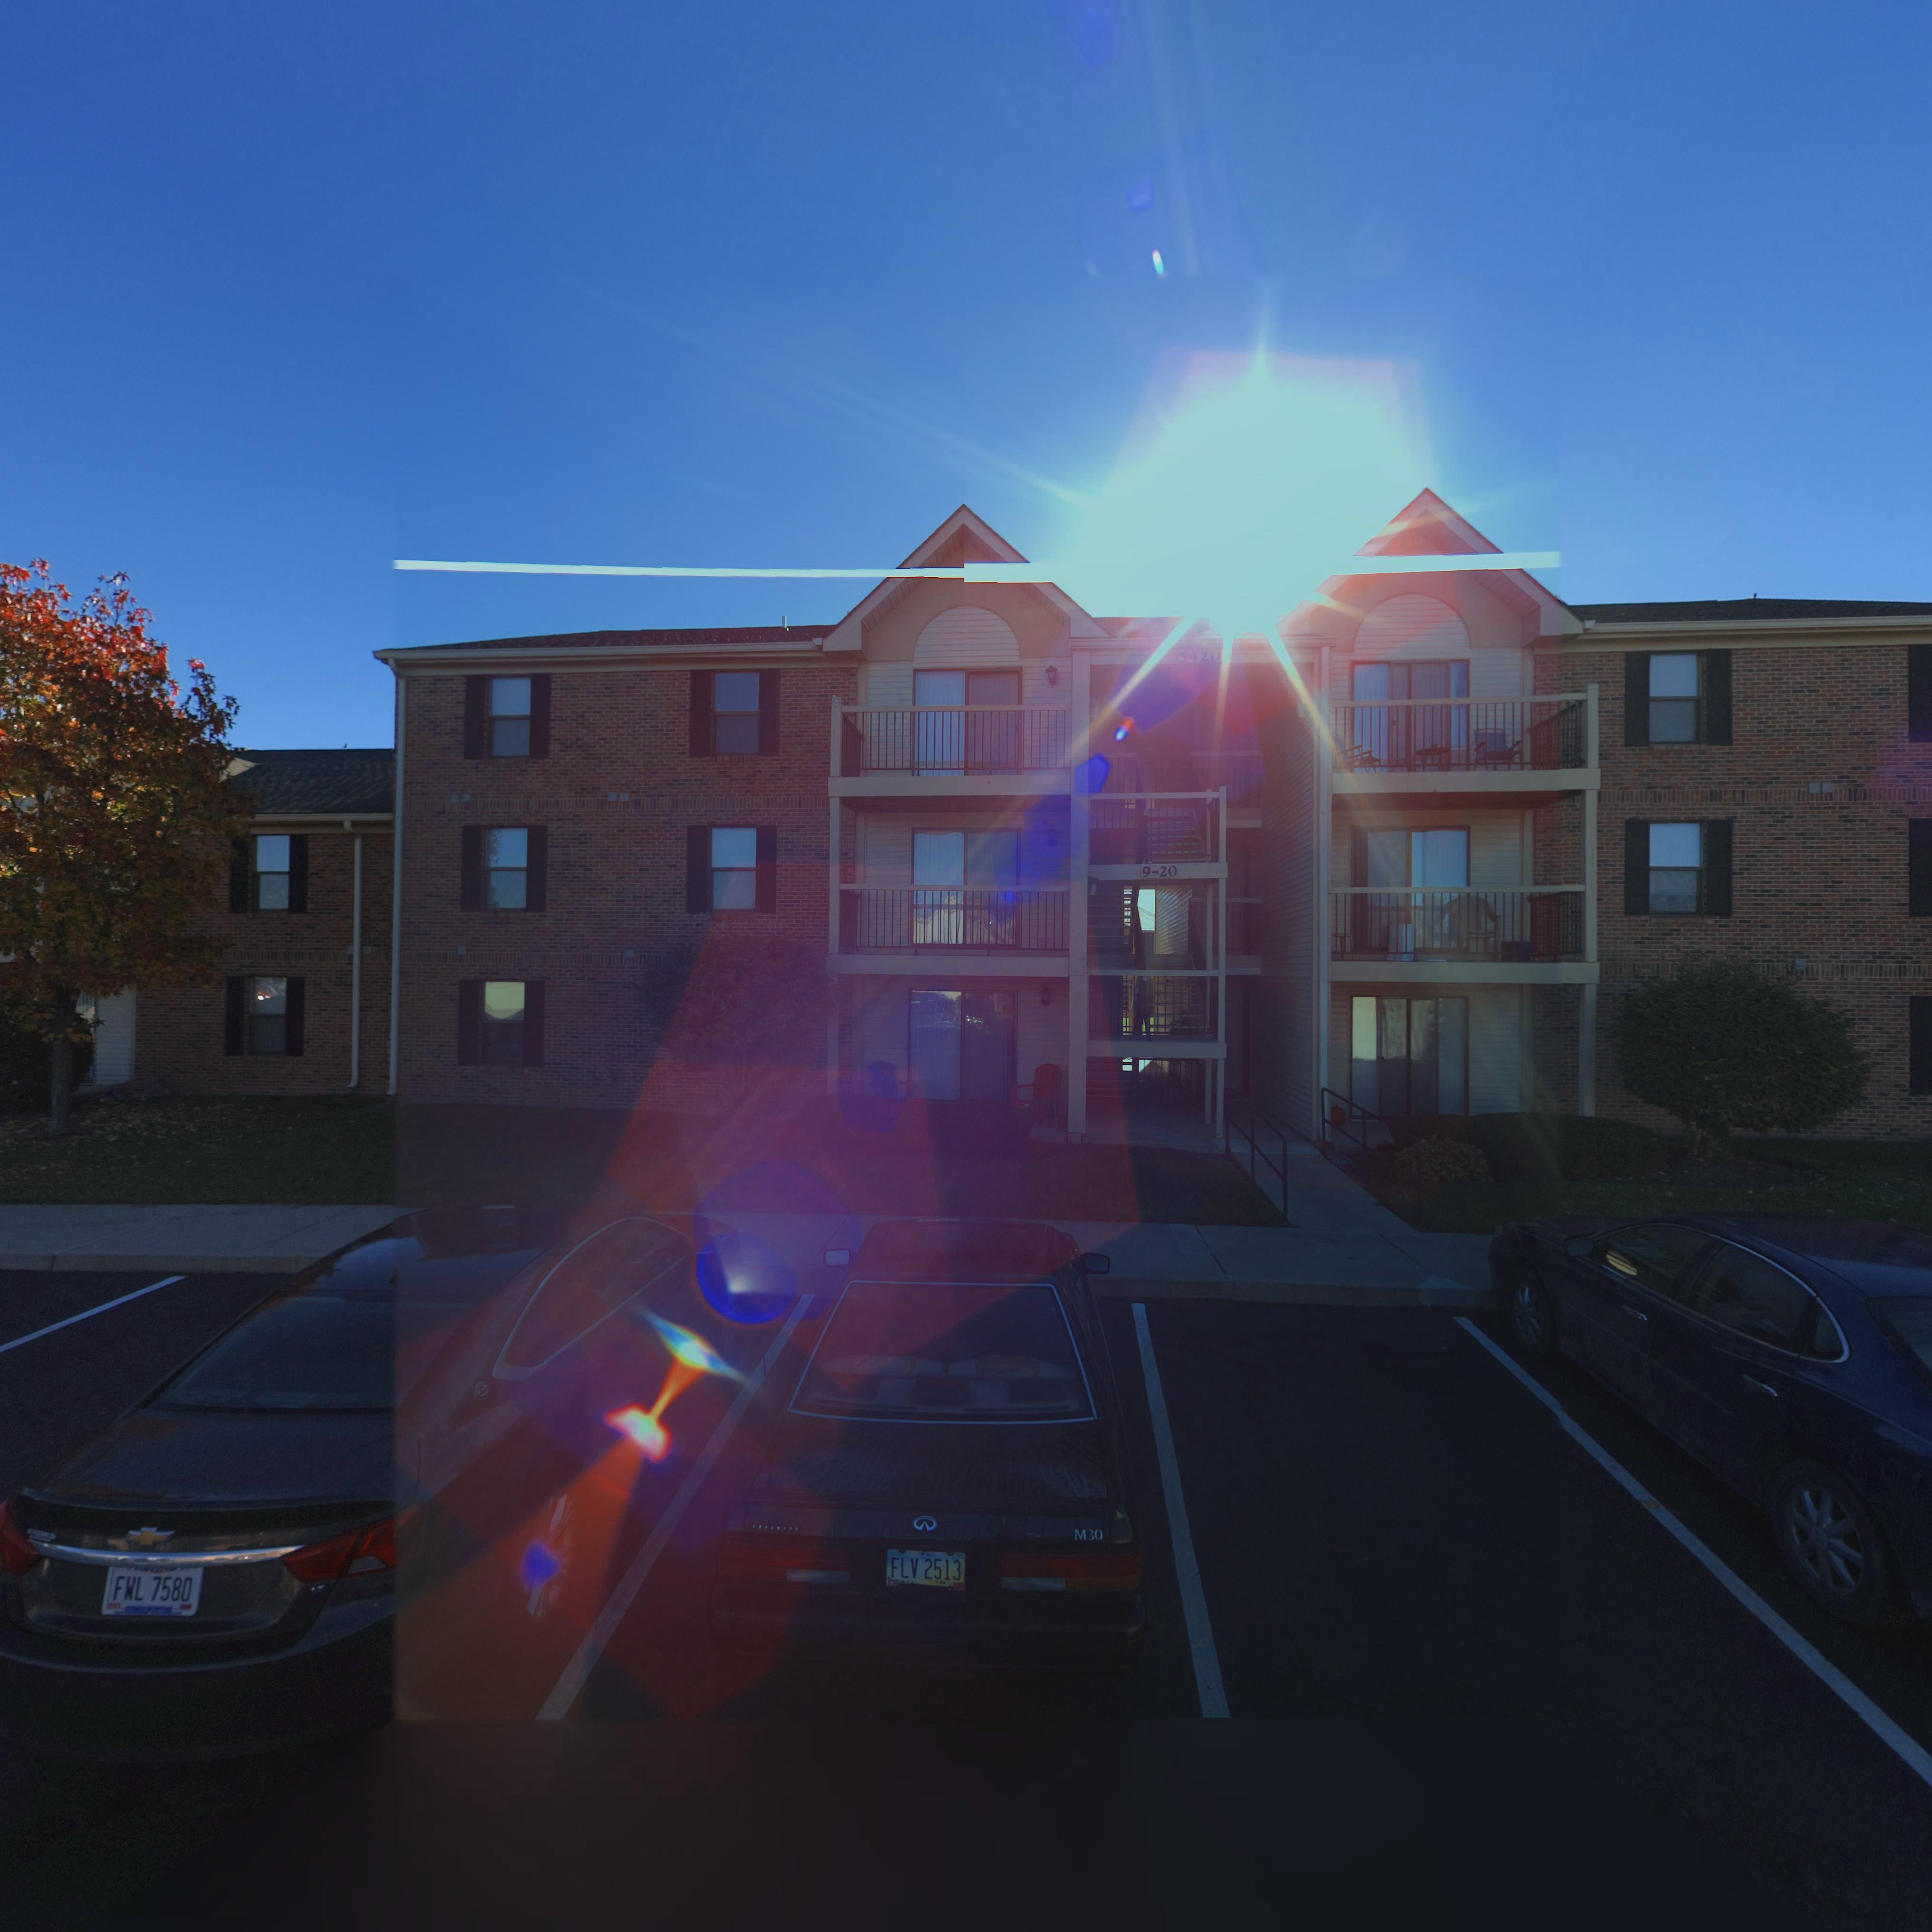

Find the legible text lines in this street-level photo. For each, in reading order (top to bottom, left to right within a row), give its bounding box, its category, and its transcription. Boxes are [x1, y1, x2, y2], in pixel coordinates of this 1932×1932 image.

[1178, 649, 1221, 662] StreetNumber: 5420
[1141, 864, 1178, 878] StreetNumber: 9-20